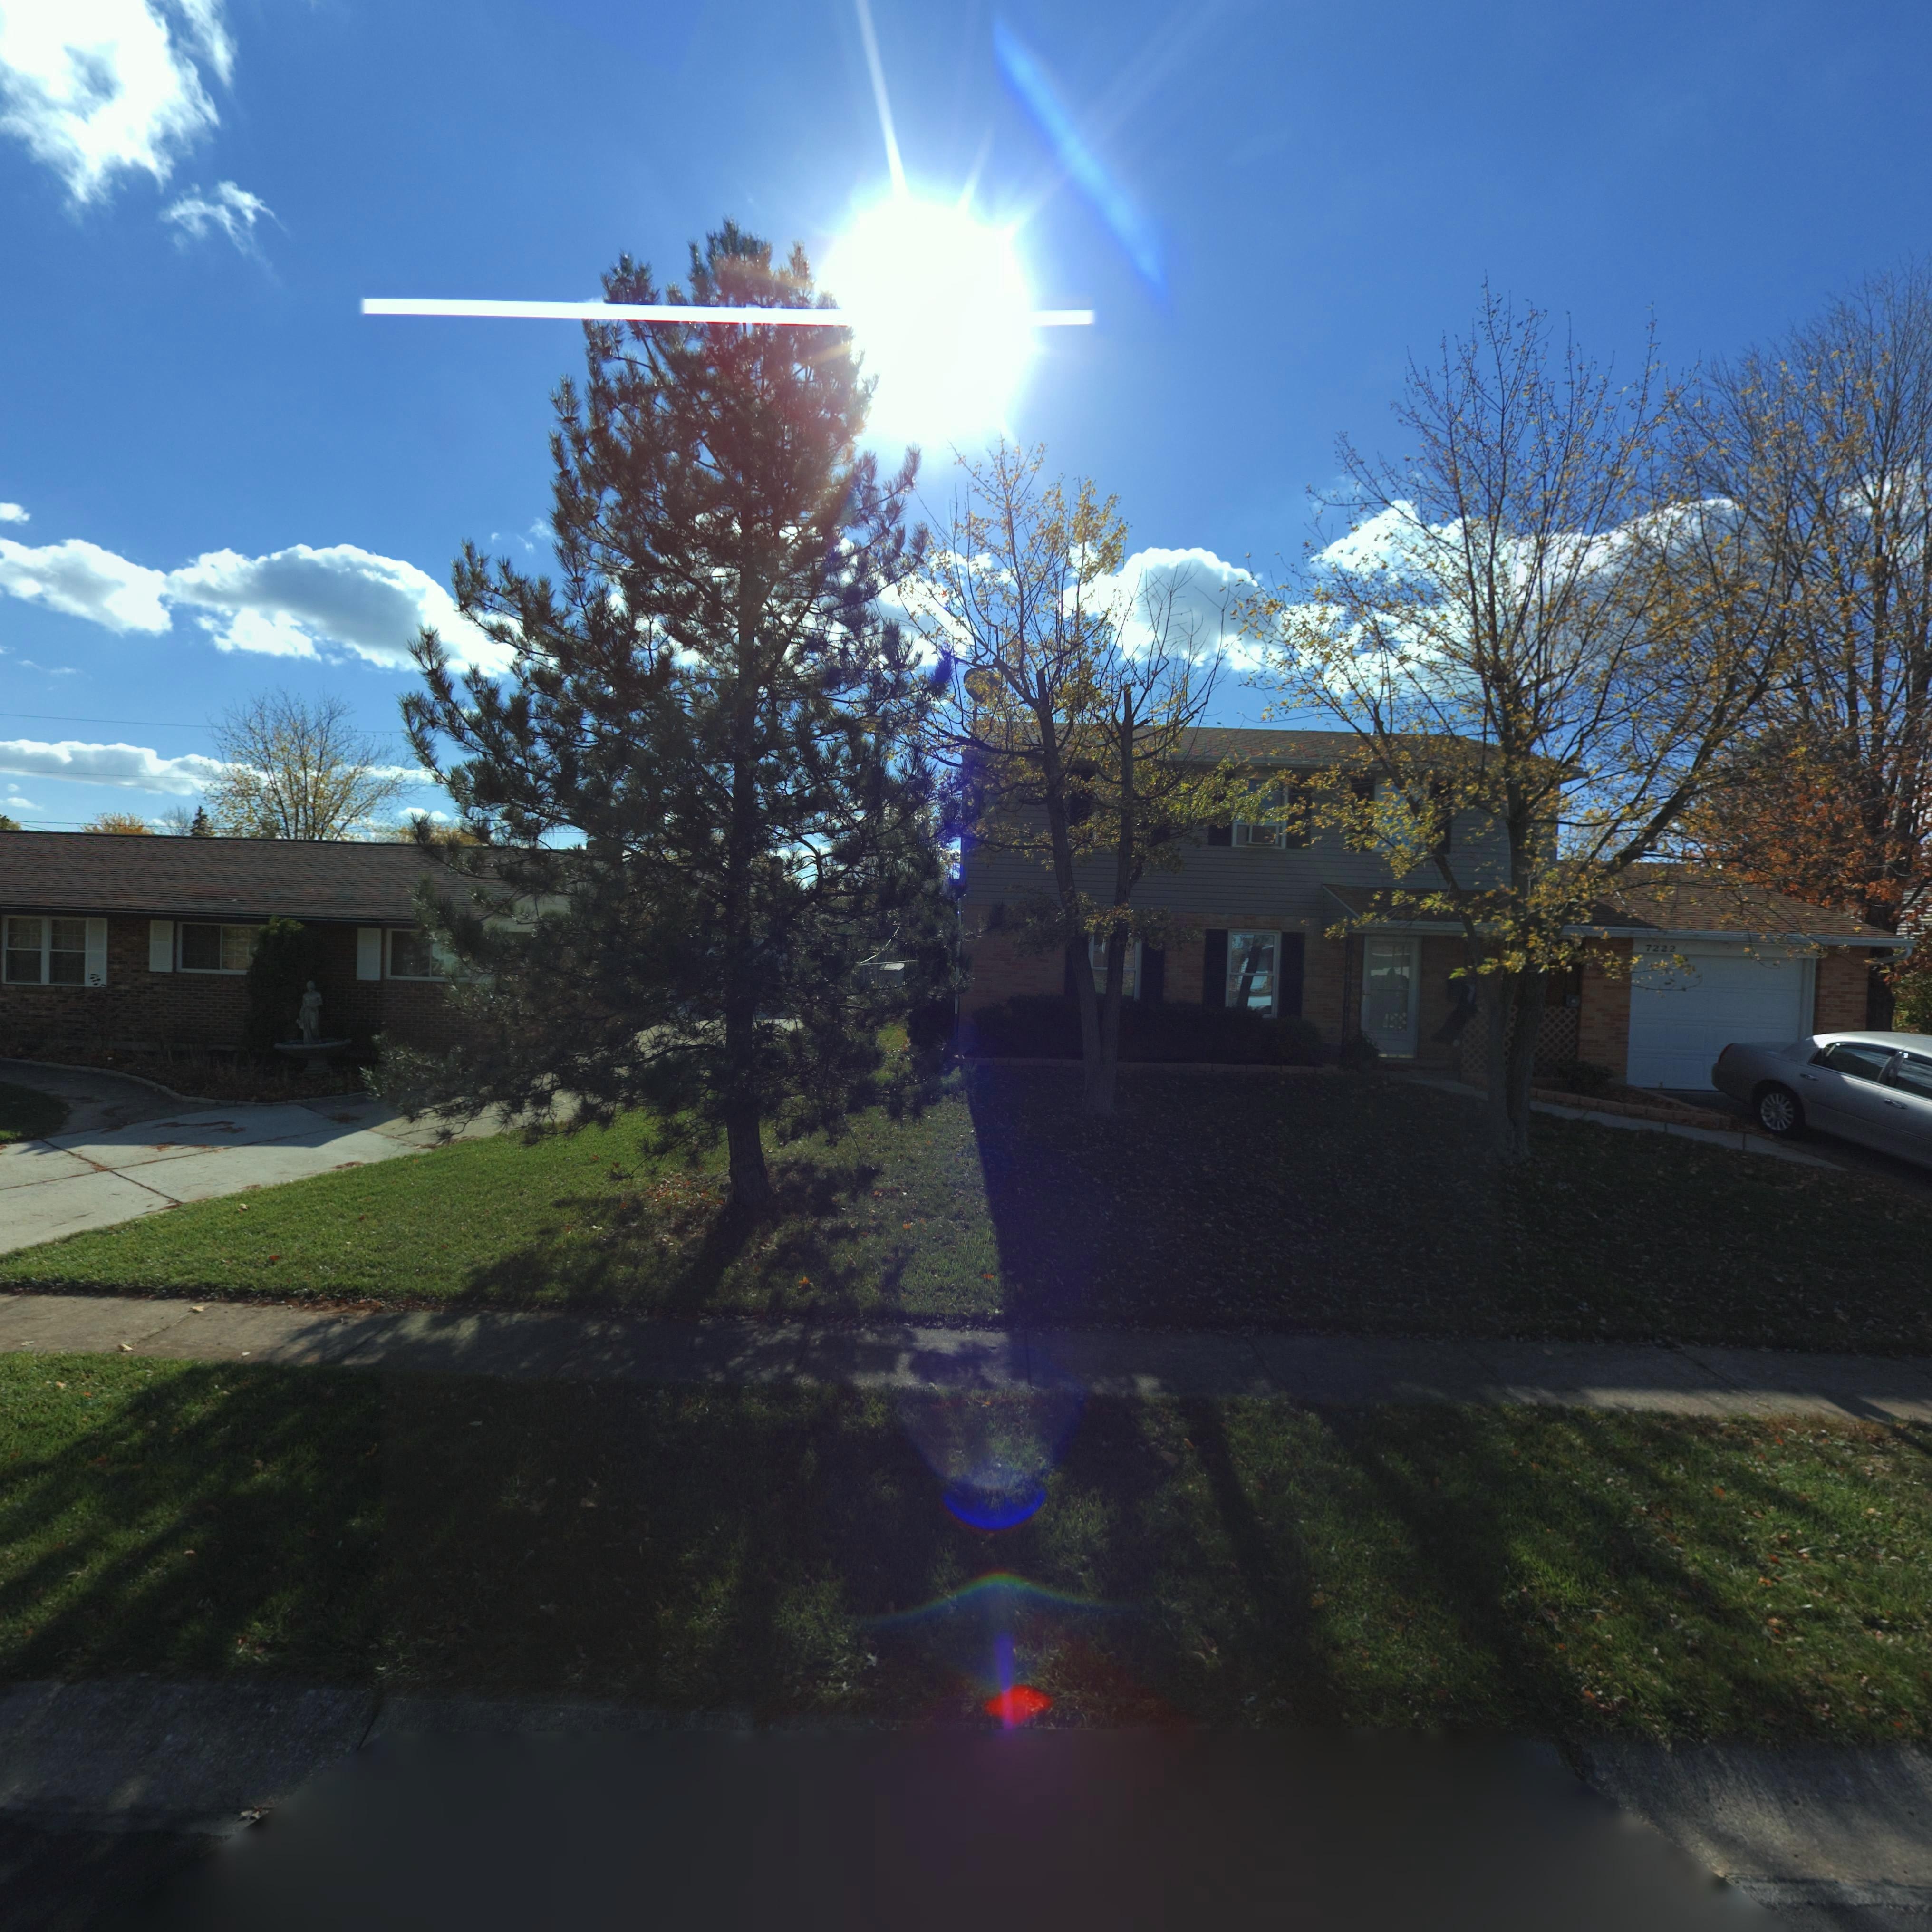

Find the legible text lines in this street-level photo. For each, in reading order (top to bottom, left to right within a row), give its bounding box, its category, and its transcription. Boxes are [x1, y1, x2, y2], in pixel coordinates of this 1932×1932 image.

[1645, 944, 1677, 953] StreetNumber: 7222